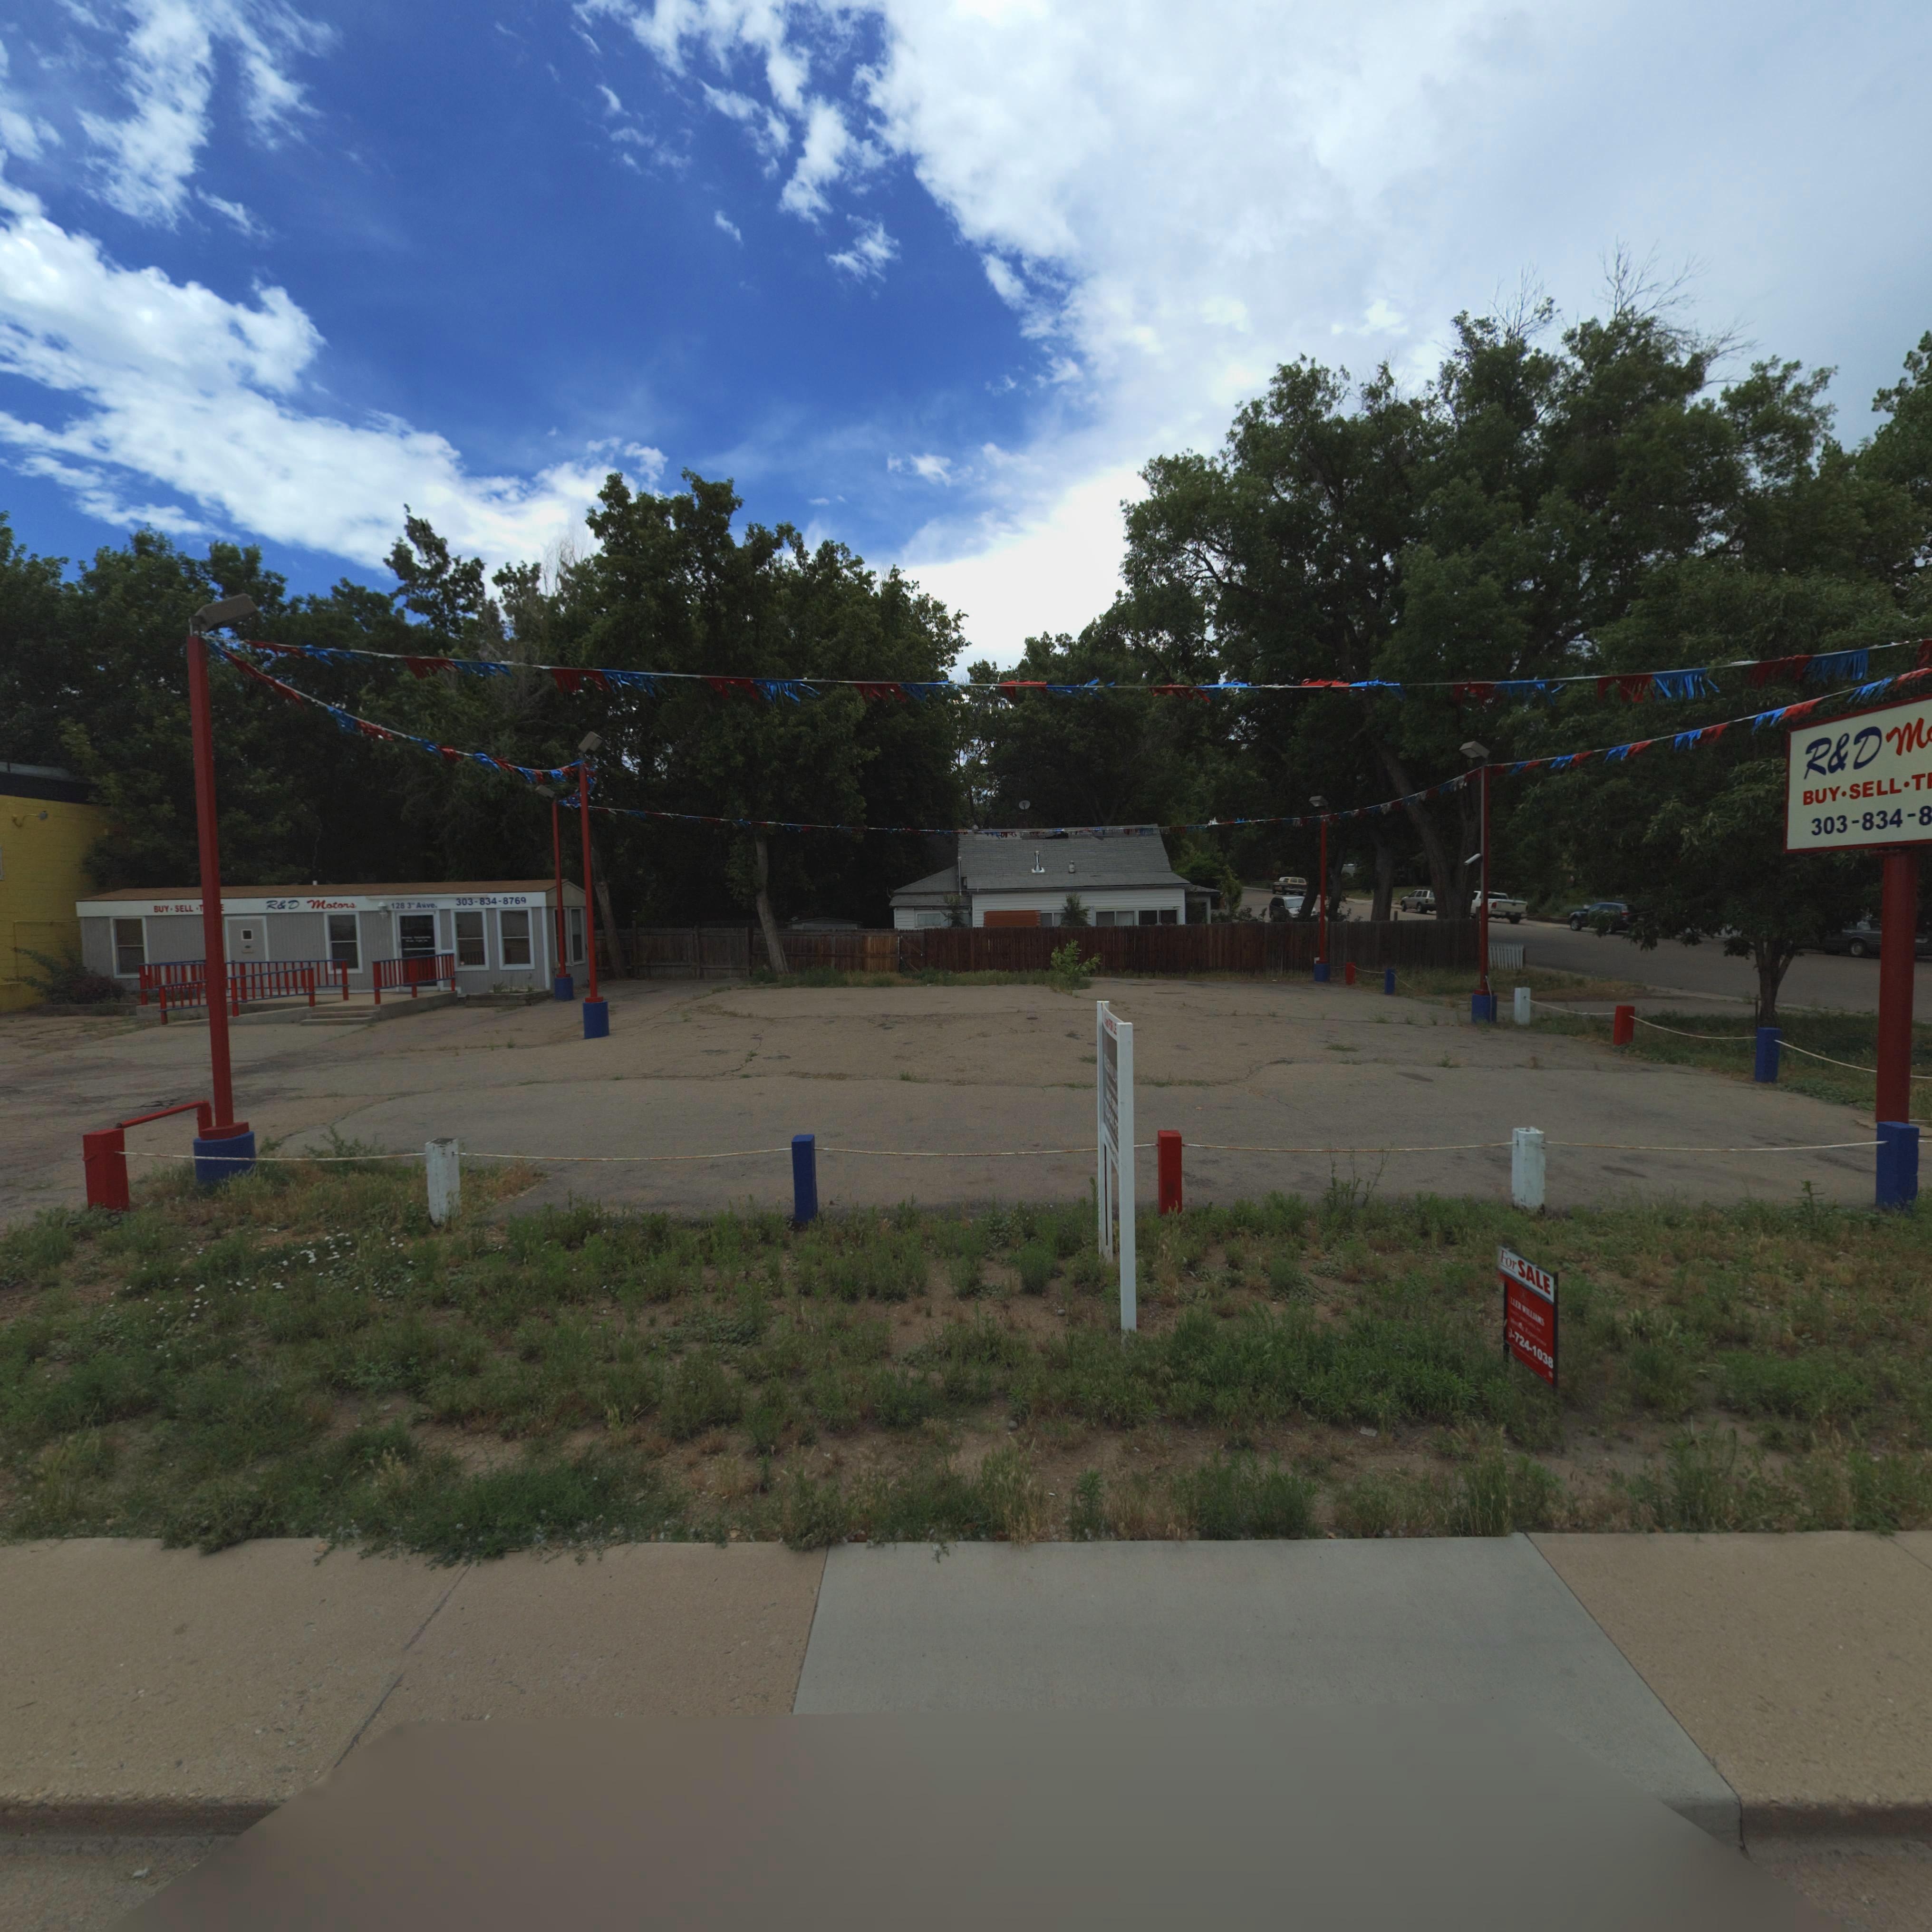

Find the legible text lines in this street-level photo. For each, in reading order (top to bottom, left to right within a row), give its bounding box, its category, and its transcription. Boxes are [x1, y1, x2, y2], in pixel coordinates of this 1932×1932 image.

[1803, 716, 1930, 780] BusinessName: R&D M
[265, 898, 357, 910] BusinessName: R&D Motors
[390, 902, 405, 909] StreetNumber: 128
[406, 901, 438, 908] StreetName: 3rd Avve.